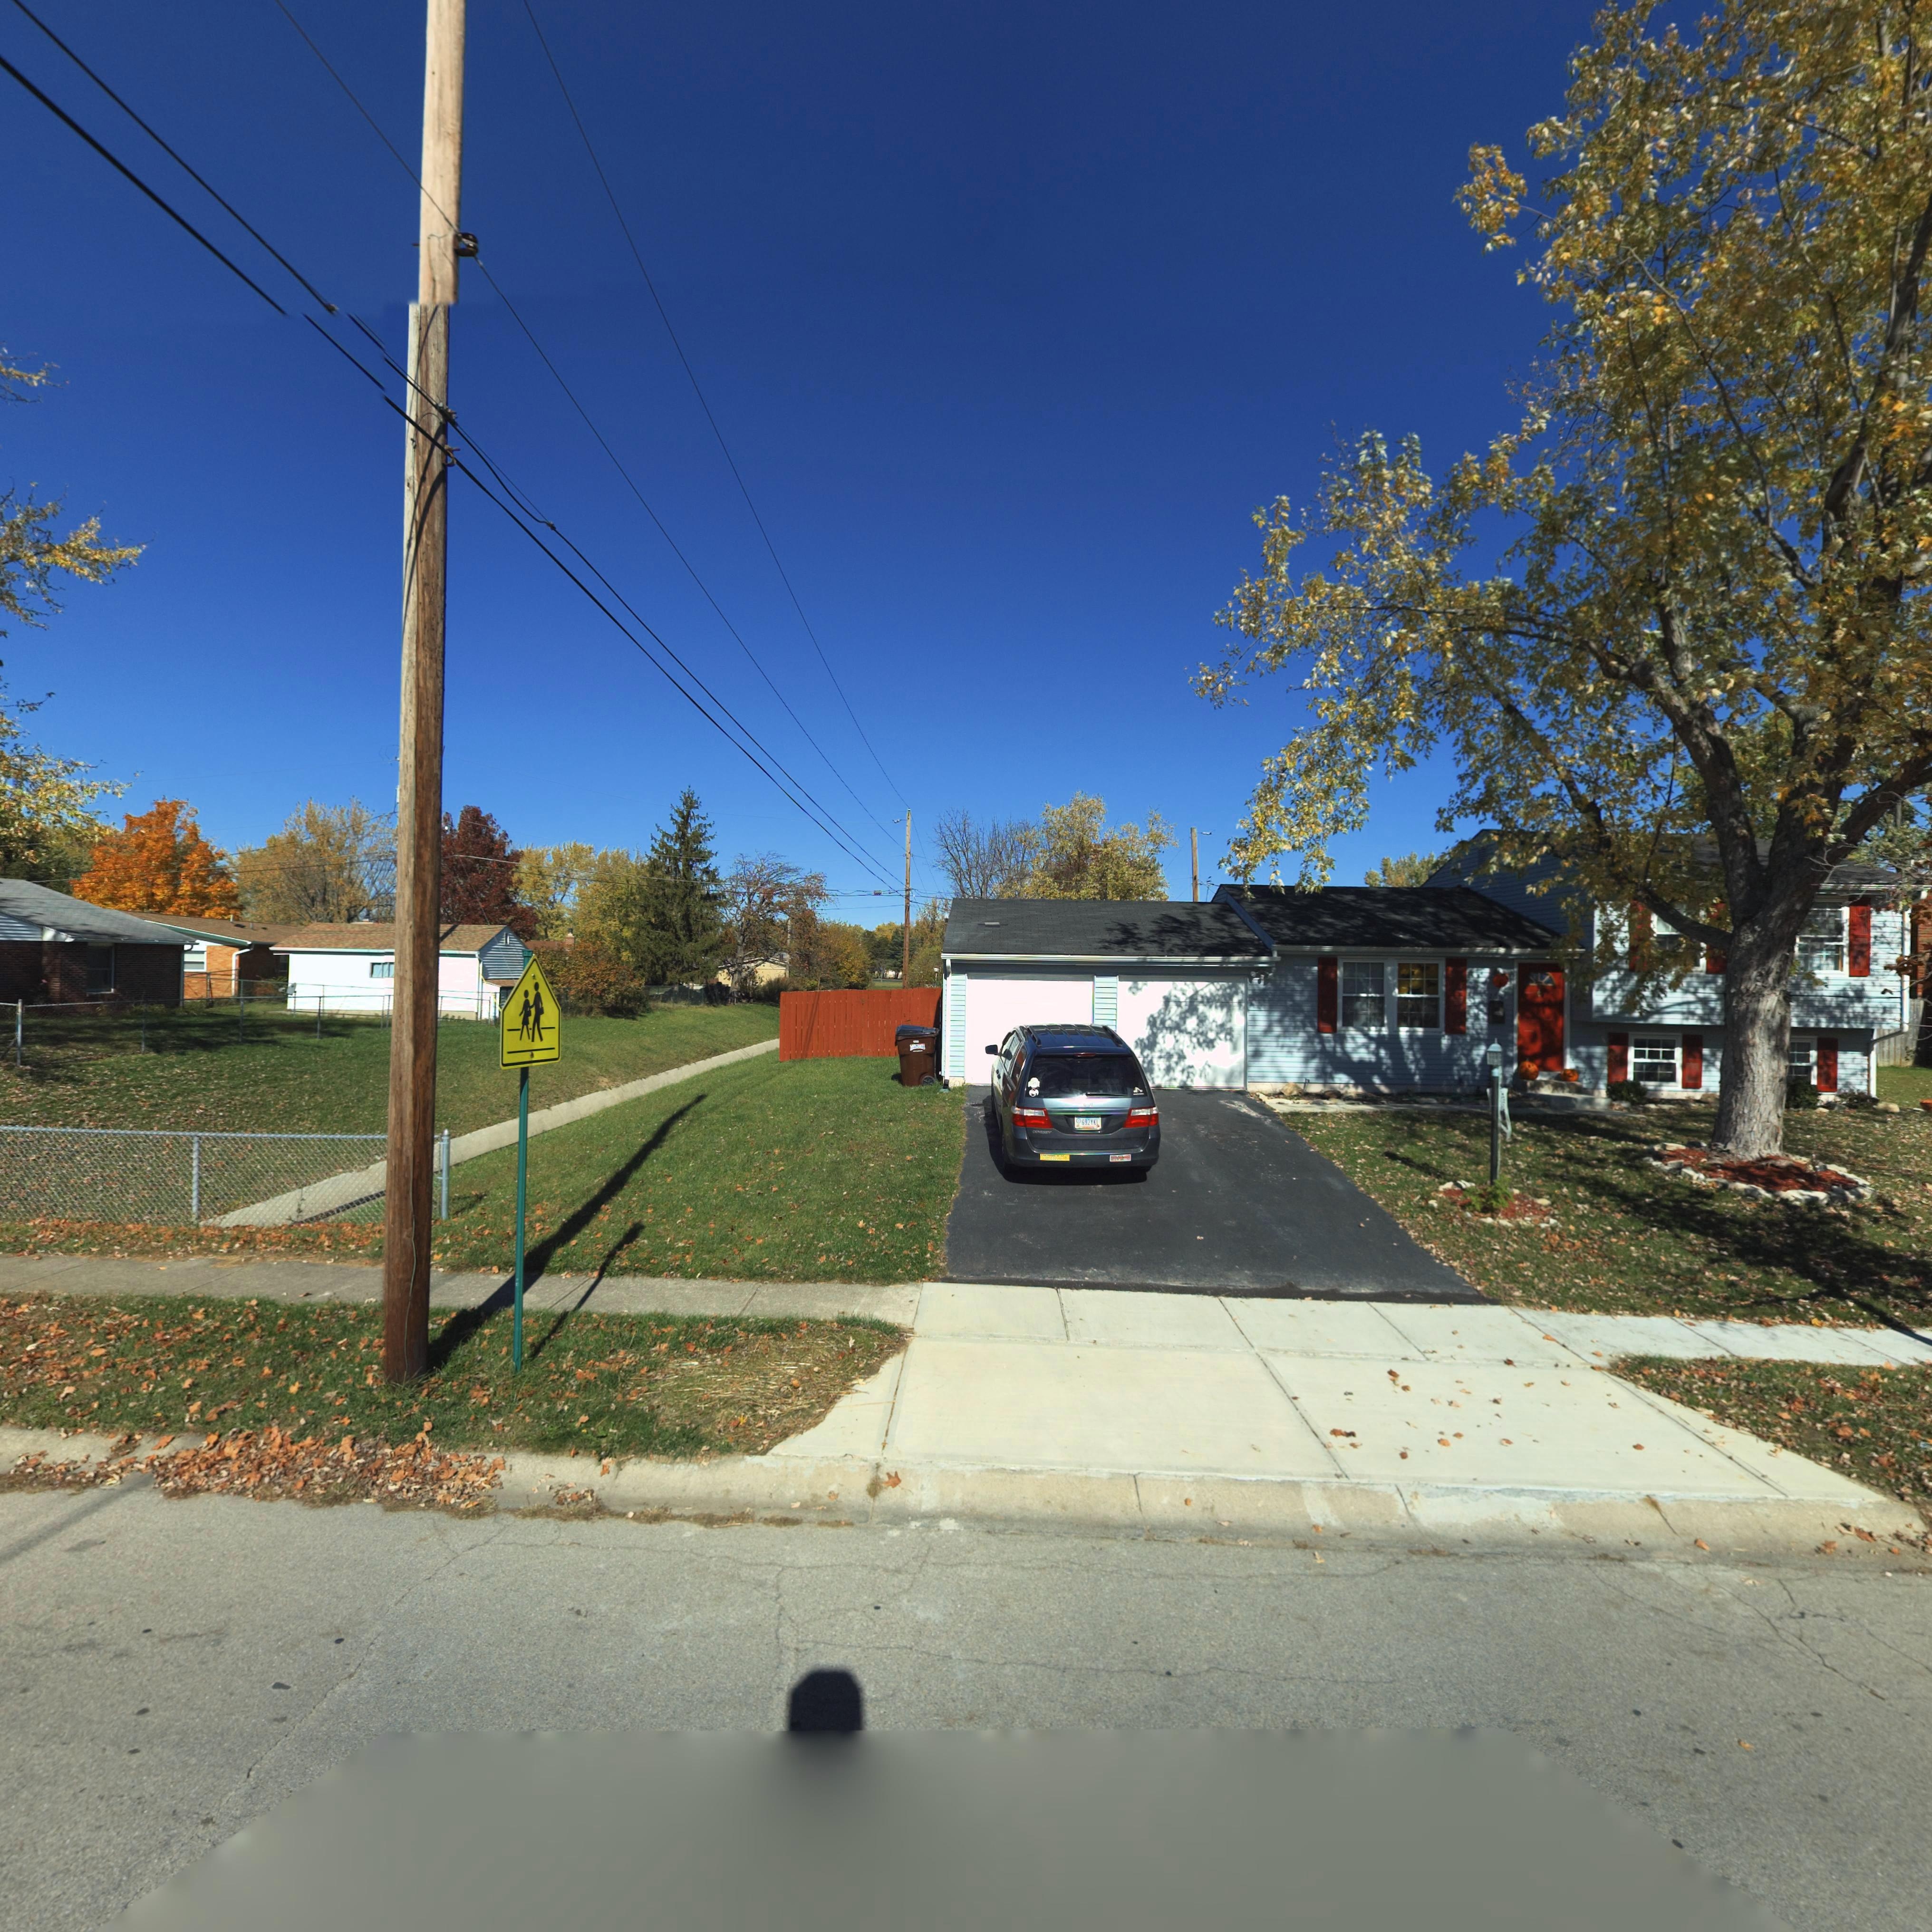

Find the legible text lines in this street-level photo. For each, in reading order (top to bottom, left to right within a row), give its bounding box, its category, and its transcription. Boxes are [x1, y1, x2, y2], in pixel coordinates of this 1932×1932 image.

[1488, 993, 1503, 1000] StreetNumber: 2**